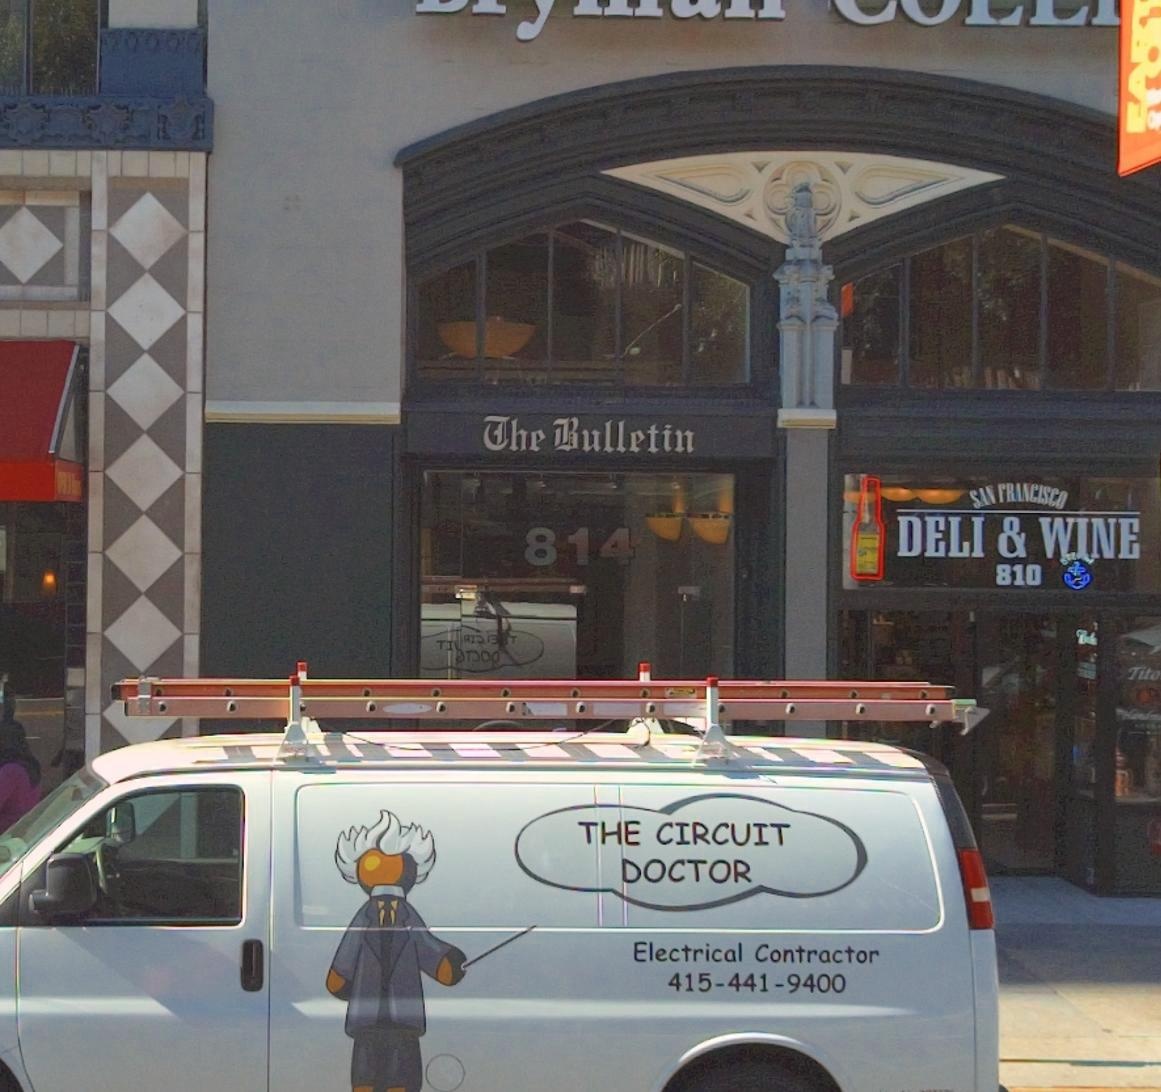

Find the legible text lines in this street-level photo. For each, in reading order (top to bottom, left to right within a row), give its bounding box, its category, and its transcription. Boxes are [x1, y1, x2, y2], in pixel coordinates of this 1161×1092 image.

[481, 414, 696, 454] BusinessName: The Bulletin
[967, 482, 1071, 511] BusinessName: SAN FRANCISCO
[524, 525, 637, 569] StreetNumber: 814
[894, 514, 1141, 561] BusinessName: DELI & WINE
[994, 563, 1042, 587] StreetNumber: 810
[1126, 665, 1161, 681] None: Tito
[576, 820, 792, 847] None: THE CIRCUIT
[620, 857, 754, 885] None: DOCTOR
[633, 939, 881, 965] None: Electrical Contractor
[665, 971, 848, 995] None: 415-441-9400